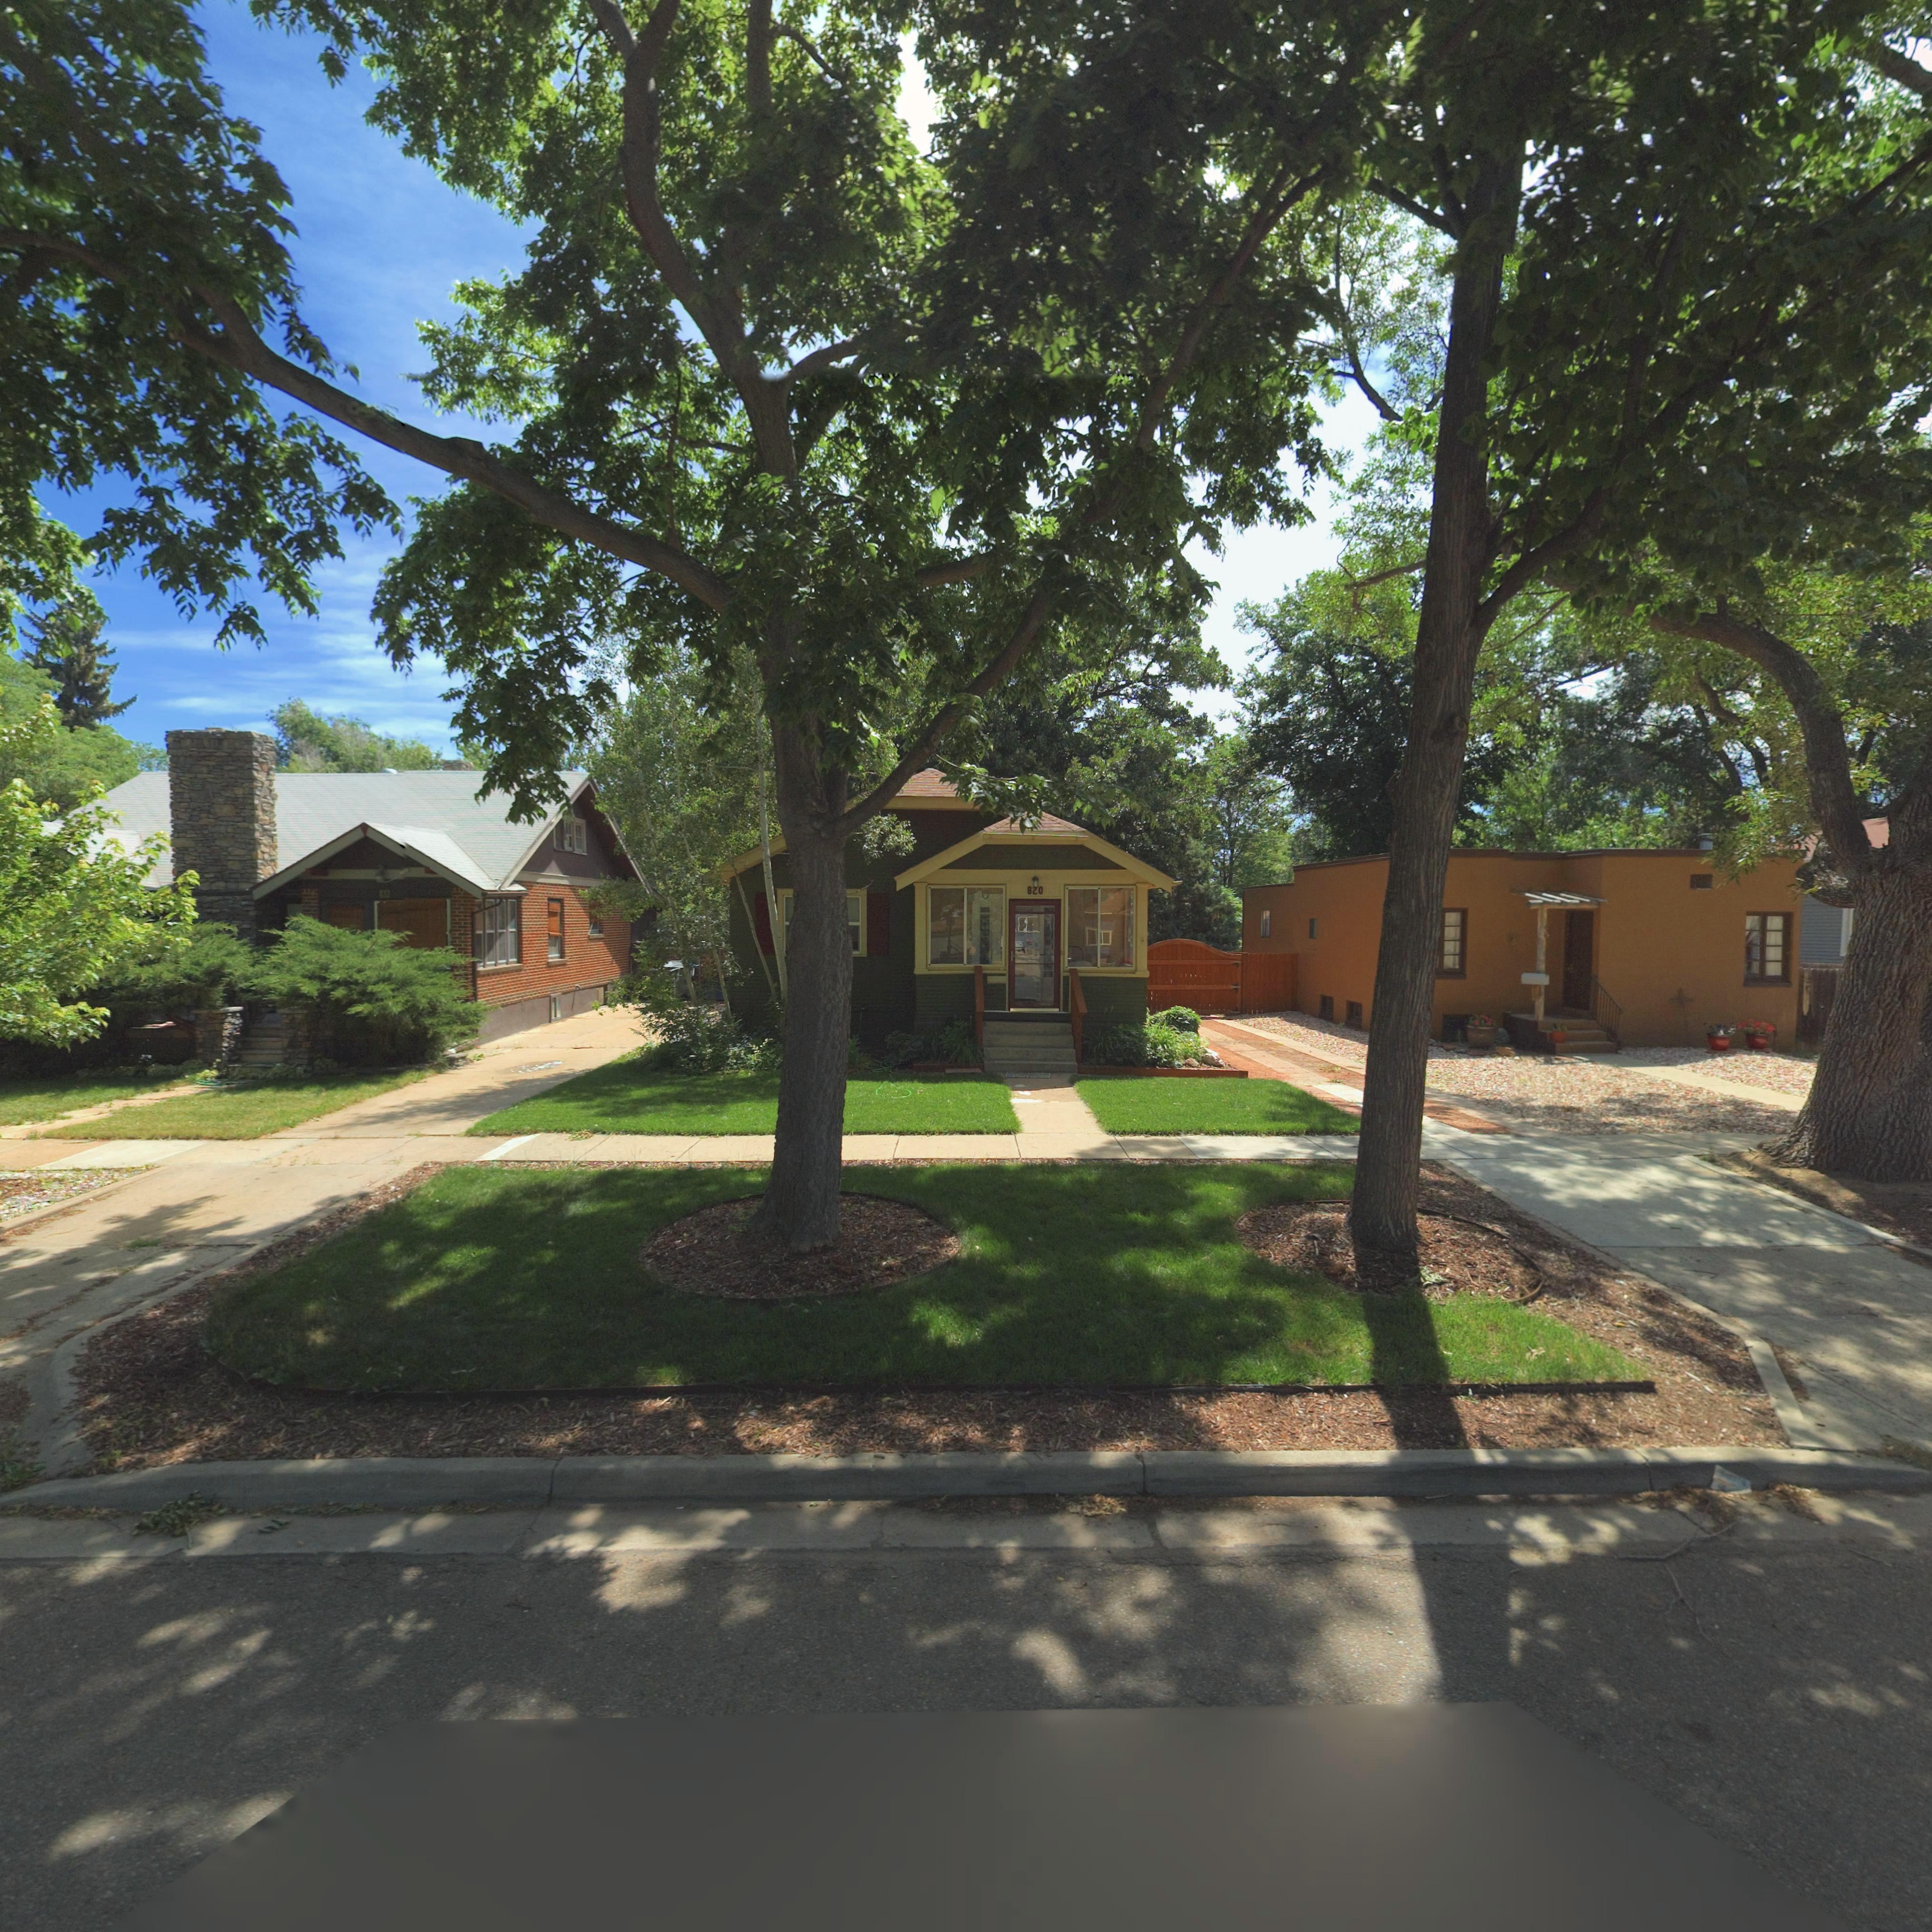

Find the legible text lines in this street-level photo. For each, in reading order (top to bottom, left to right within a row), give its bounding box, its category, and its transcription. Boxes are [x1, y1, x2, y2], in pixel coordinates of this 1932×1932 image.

[1025, 885, 1044, 895] StreetNumber: 820